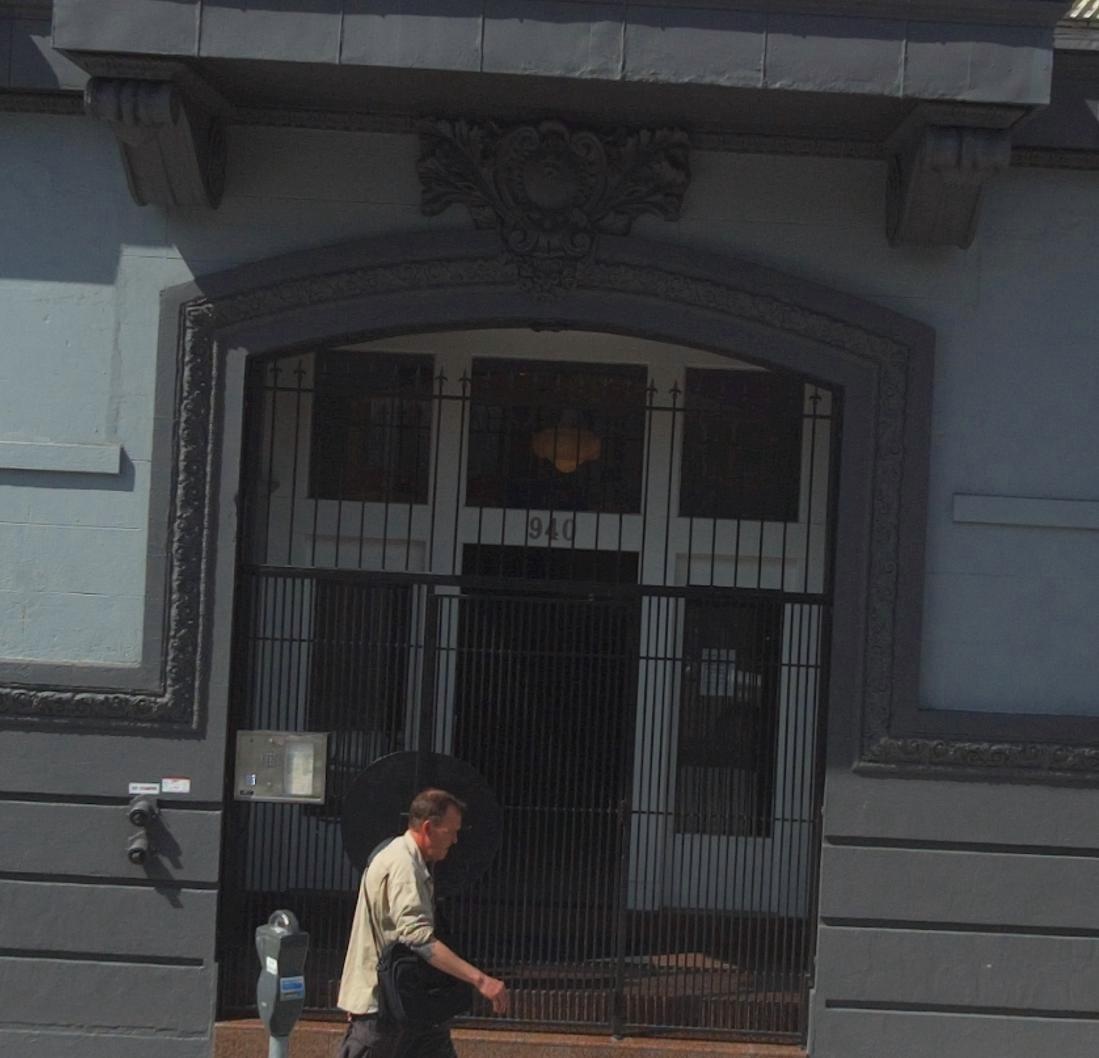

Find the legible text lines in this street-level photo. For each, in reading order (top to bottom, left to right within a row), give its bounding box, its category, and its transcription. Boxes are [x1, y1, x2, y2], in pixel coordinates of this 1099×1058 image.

[527, 514, 578, 543] StreetNumber: 940